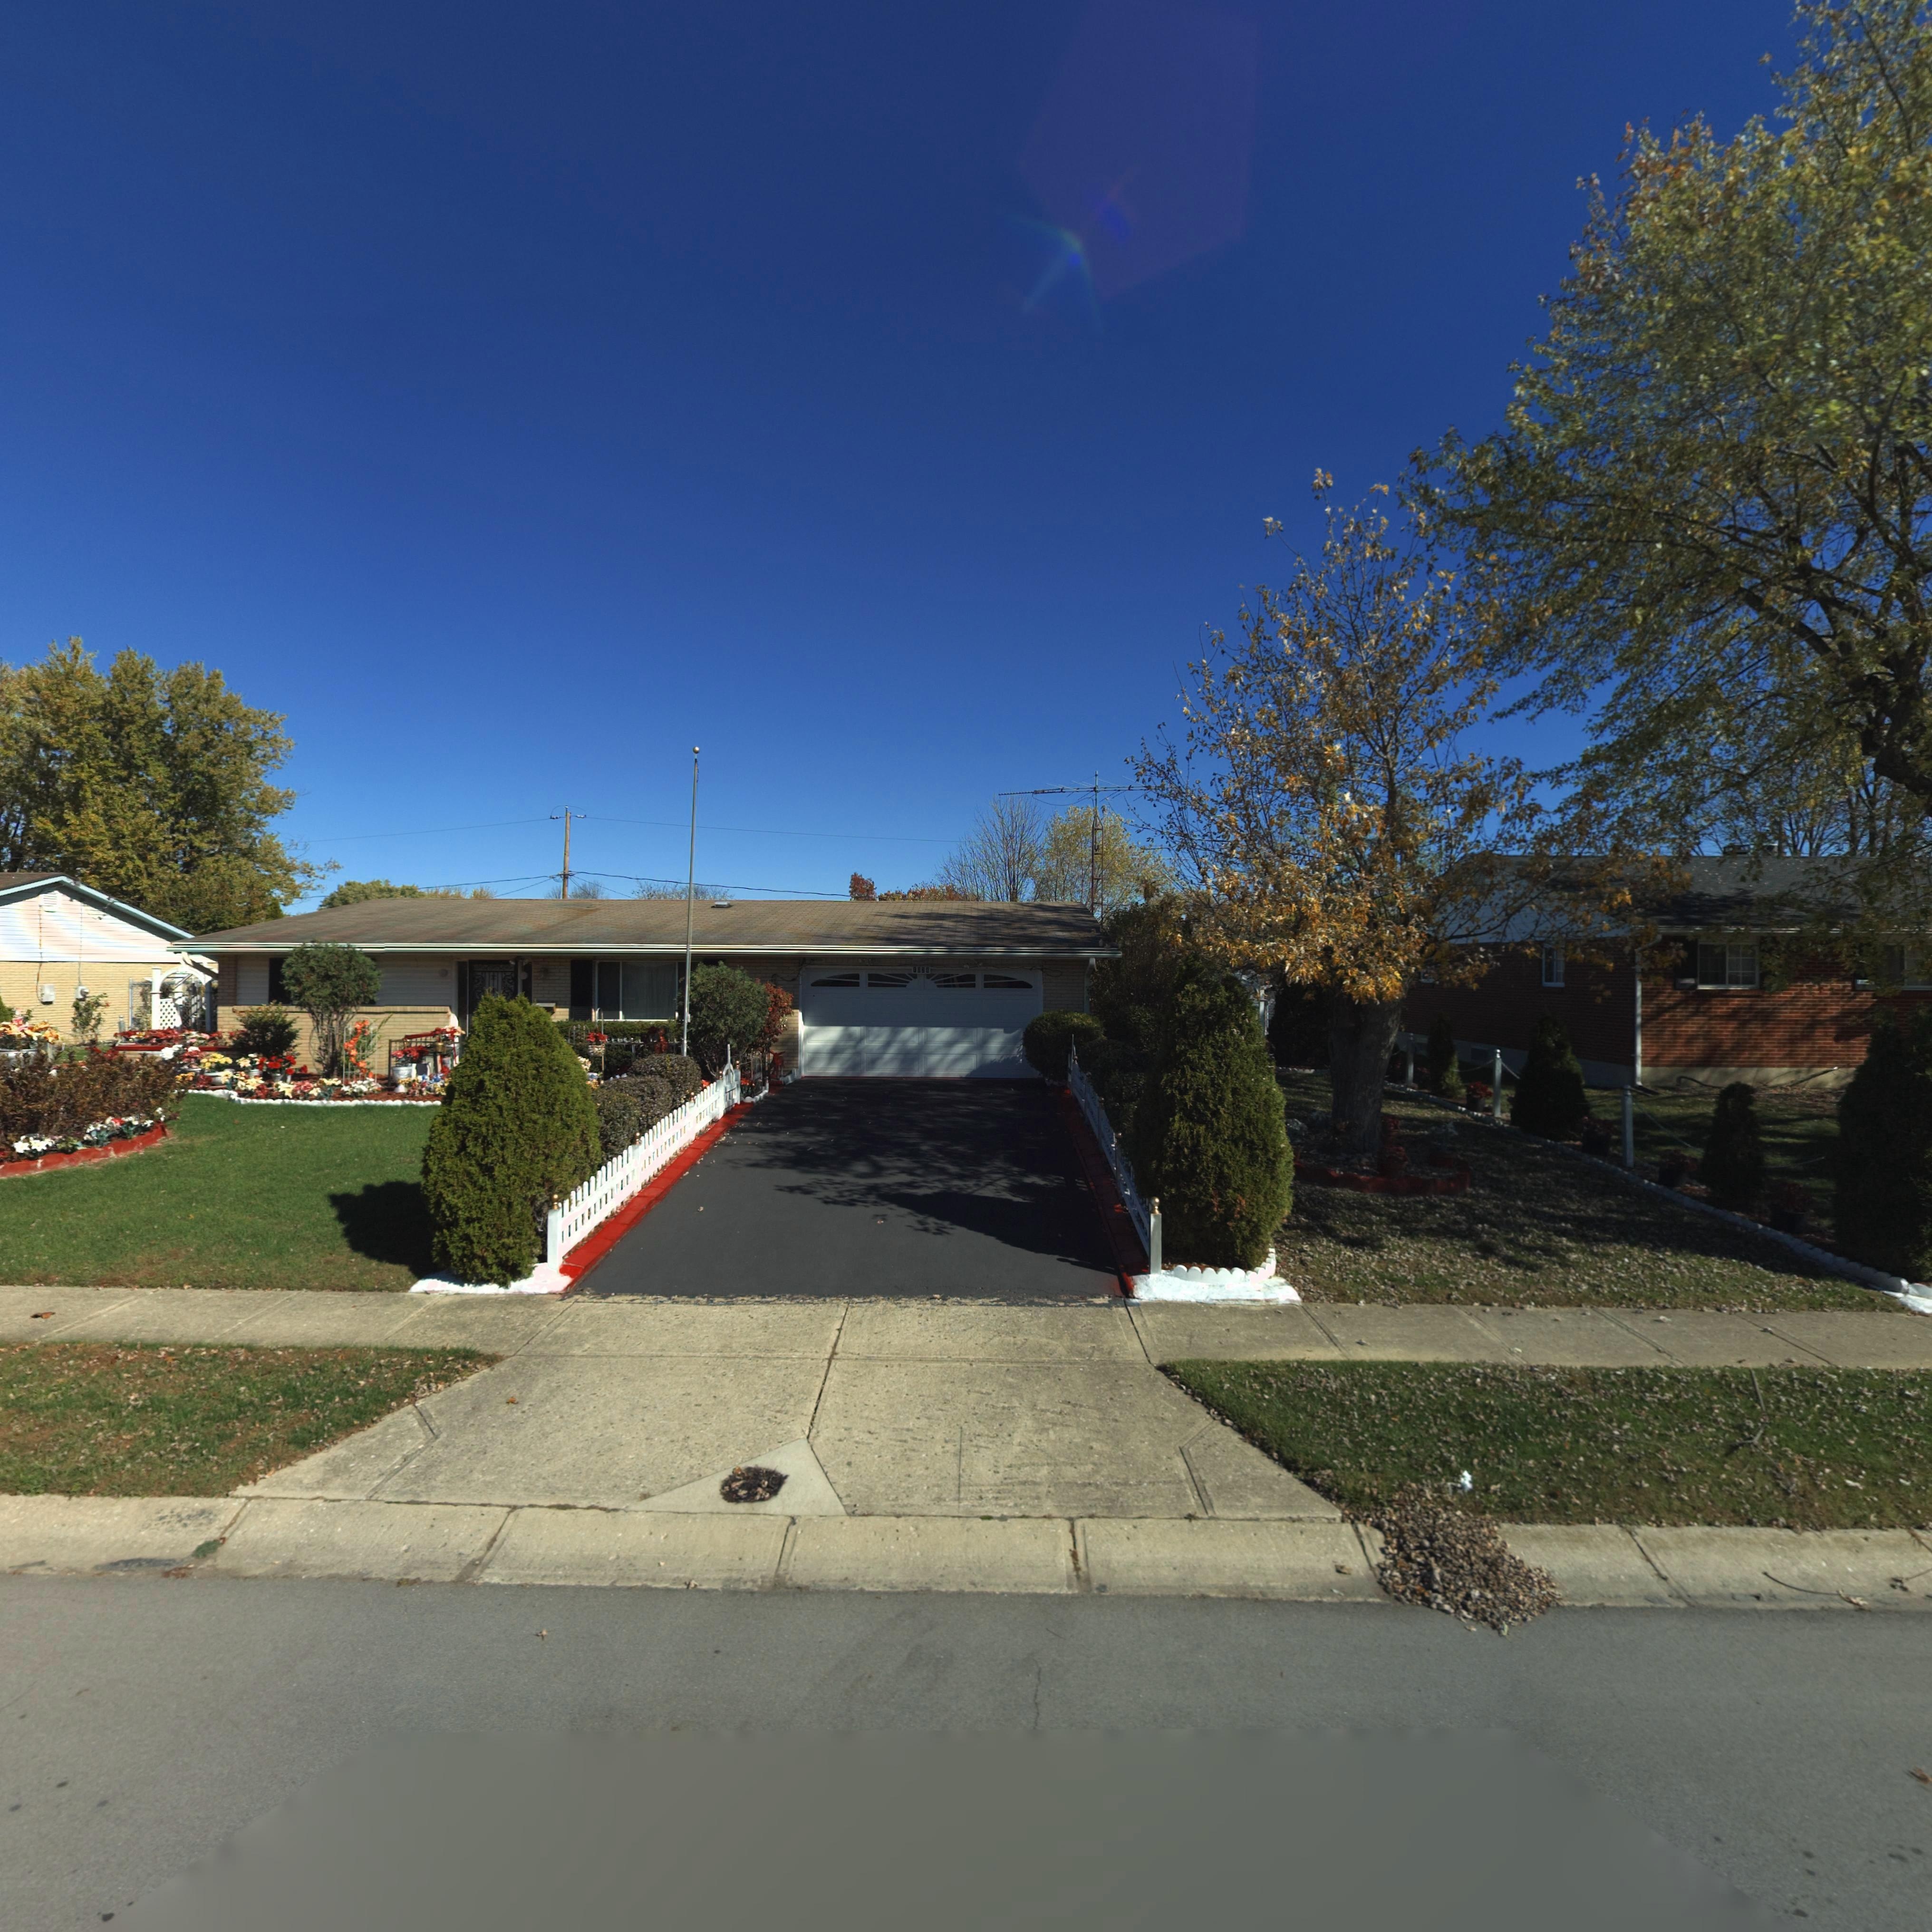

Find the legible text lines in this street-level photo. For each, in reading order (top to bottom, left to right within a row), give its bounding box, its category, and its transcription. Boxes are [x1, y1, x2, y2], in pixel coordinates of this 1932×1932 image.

[912, 966, 930, 974] StreetNumber: 102*